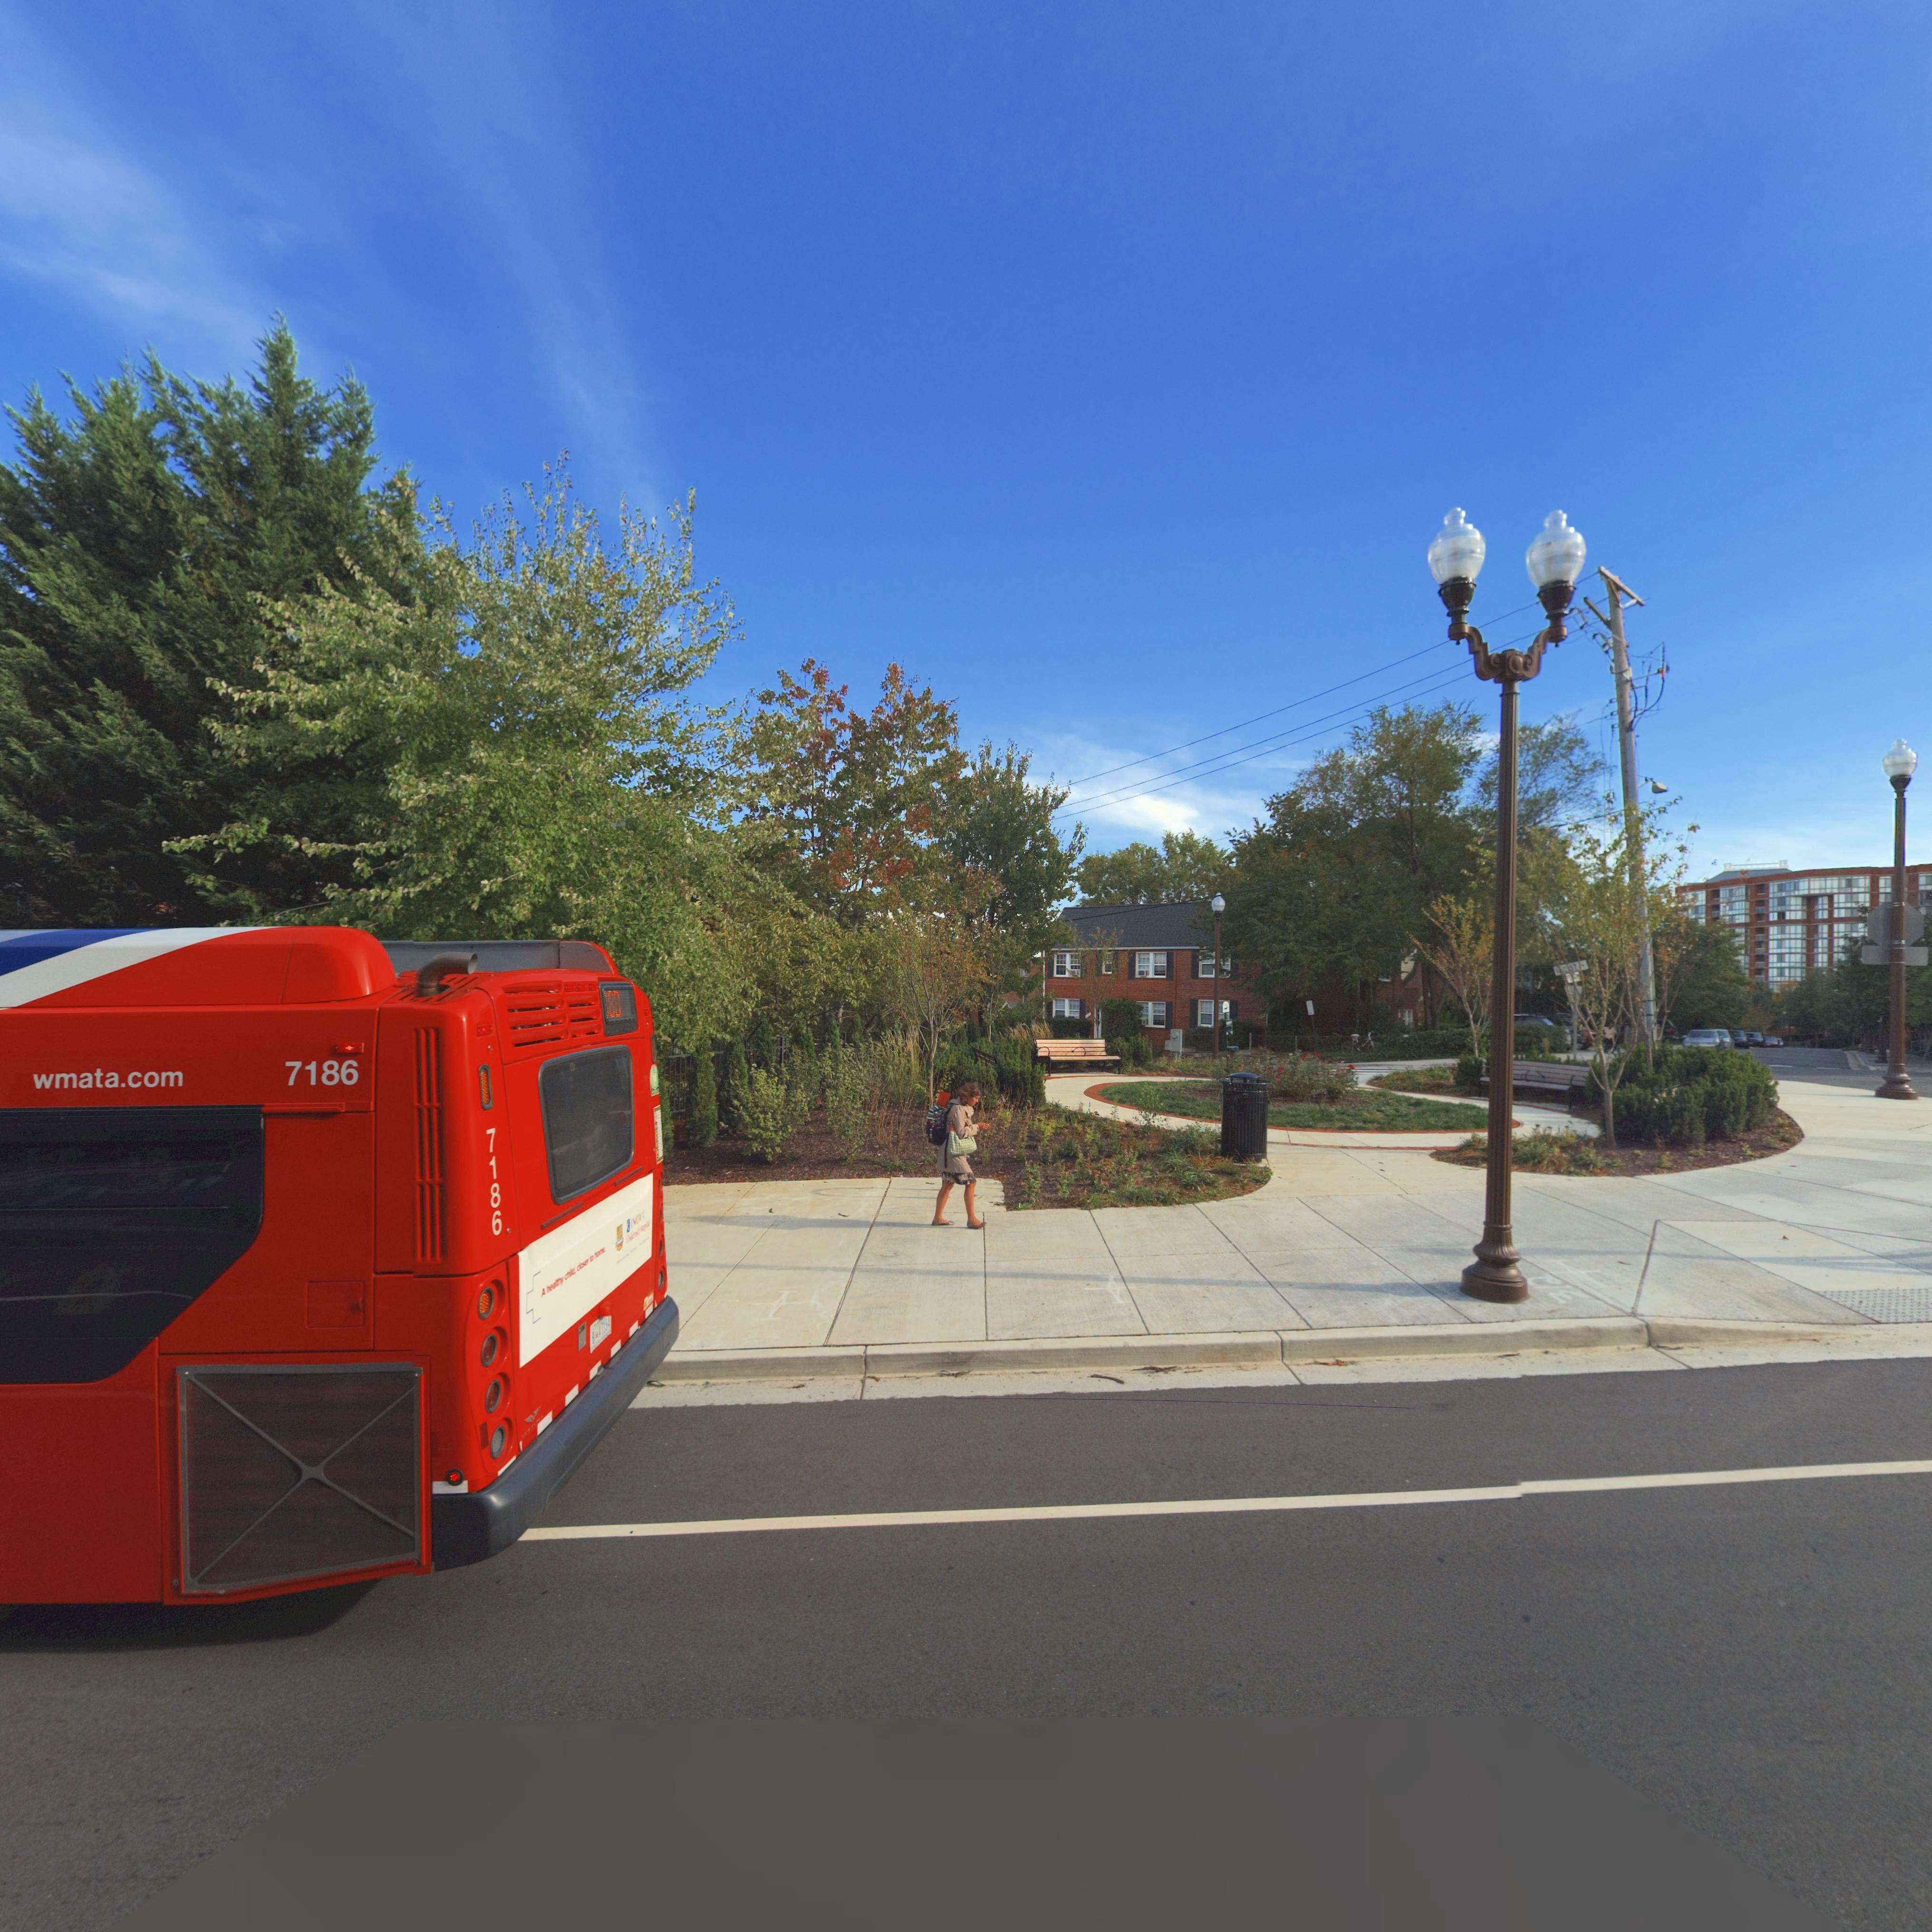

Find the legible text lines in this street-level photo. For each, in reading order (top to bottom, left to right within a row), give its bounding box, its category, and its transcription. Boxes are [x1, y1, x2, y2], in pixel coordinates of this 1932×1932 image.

[29, 1064, 185, 1092] None: wmata.com
[281, 1057, 361, 1088] None: 7186
[483, 1124, 504, 1237] None: 7186